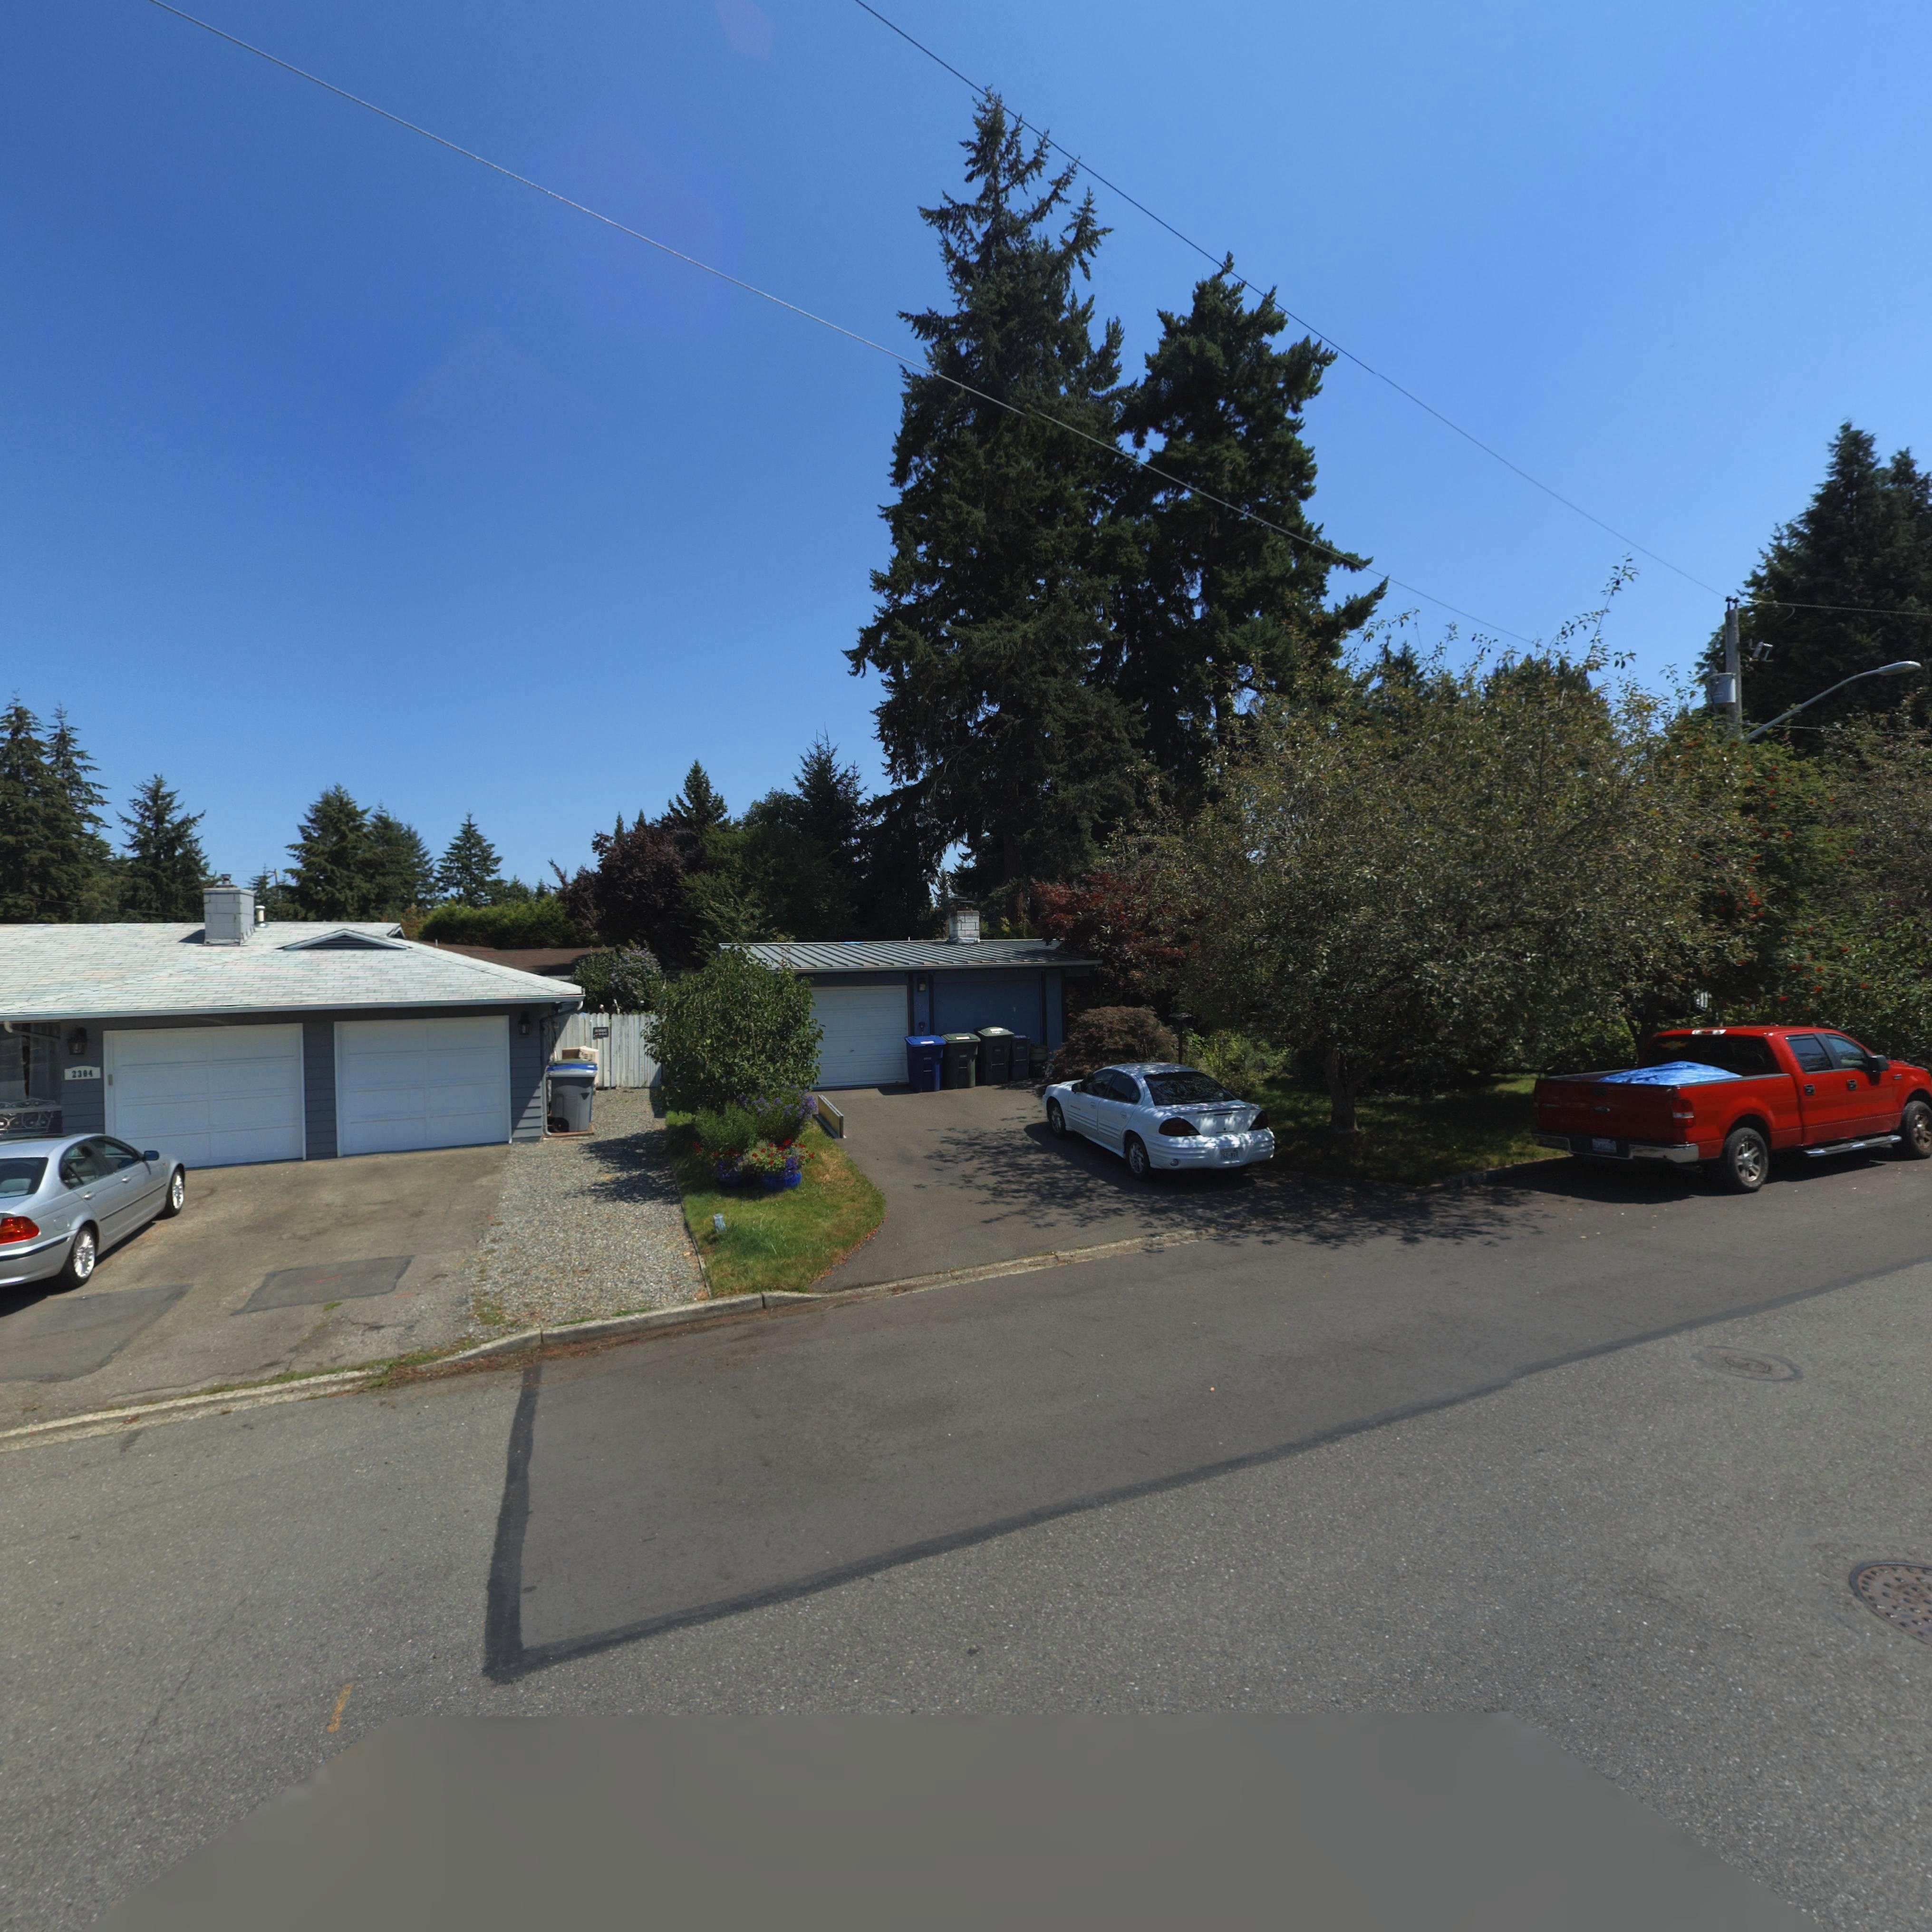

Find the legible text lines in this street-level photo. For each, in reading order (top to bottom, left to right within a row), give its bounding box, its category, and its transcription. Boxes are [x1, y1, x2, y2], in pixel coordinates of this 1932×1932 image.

[72, 1069, 93, 1078] StreetNumber: 2304